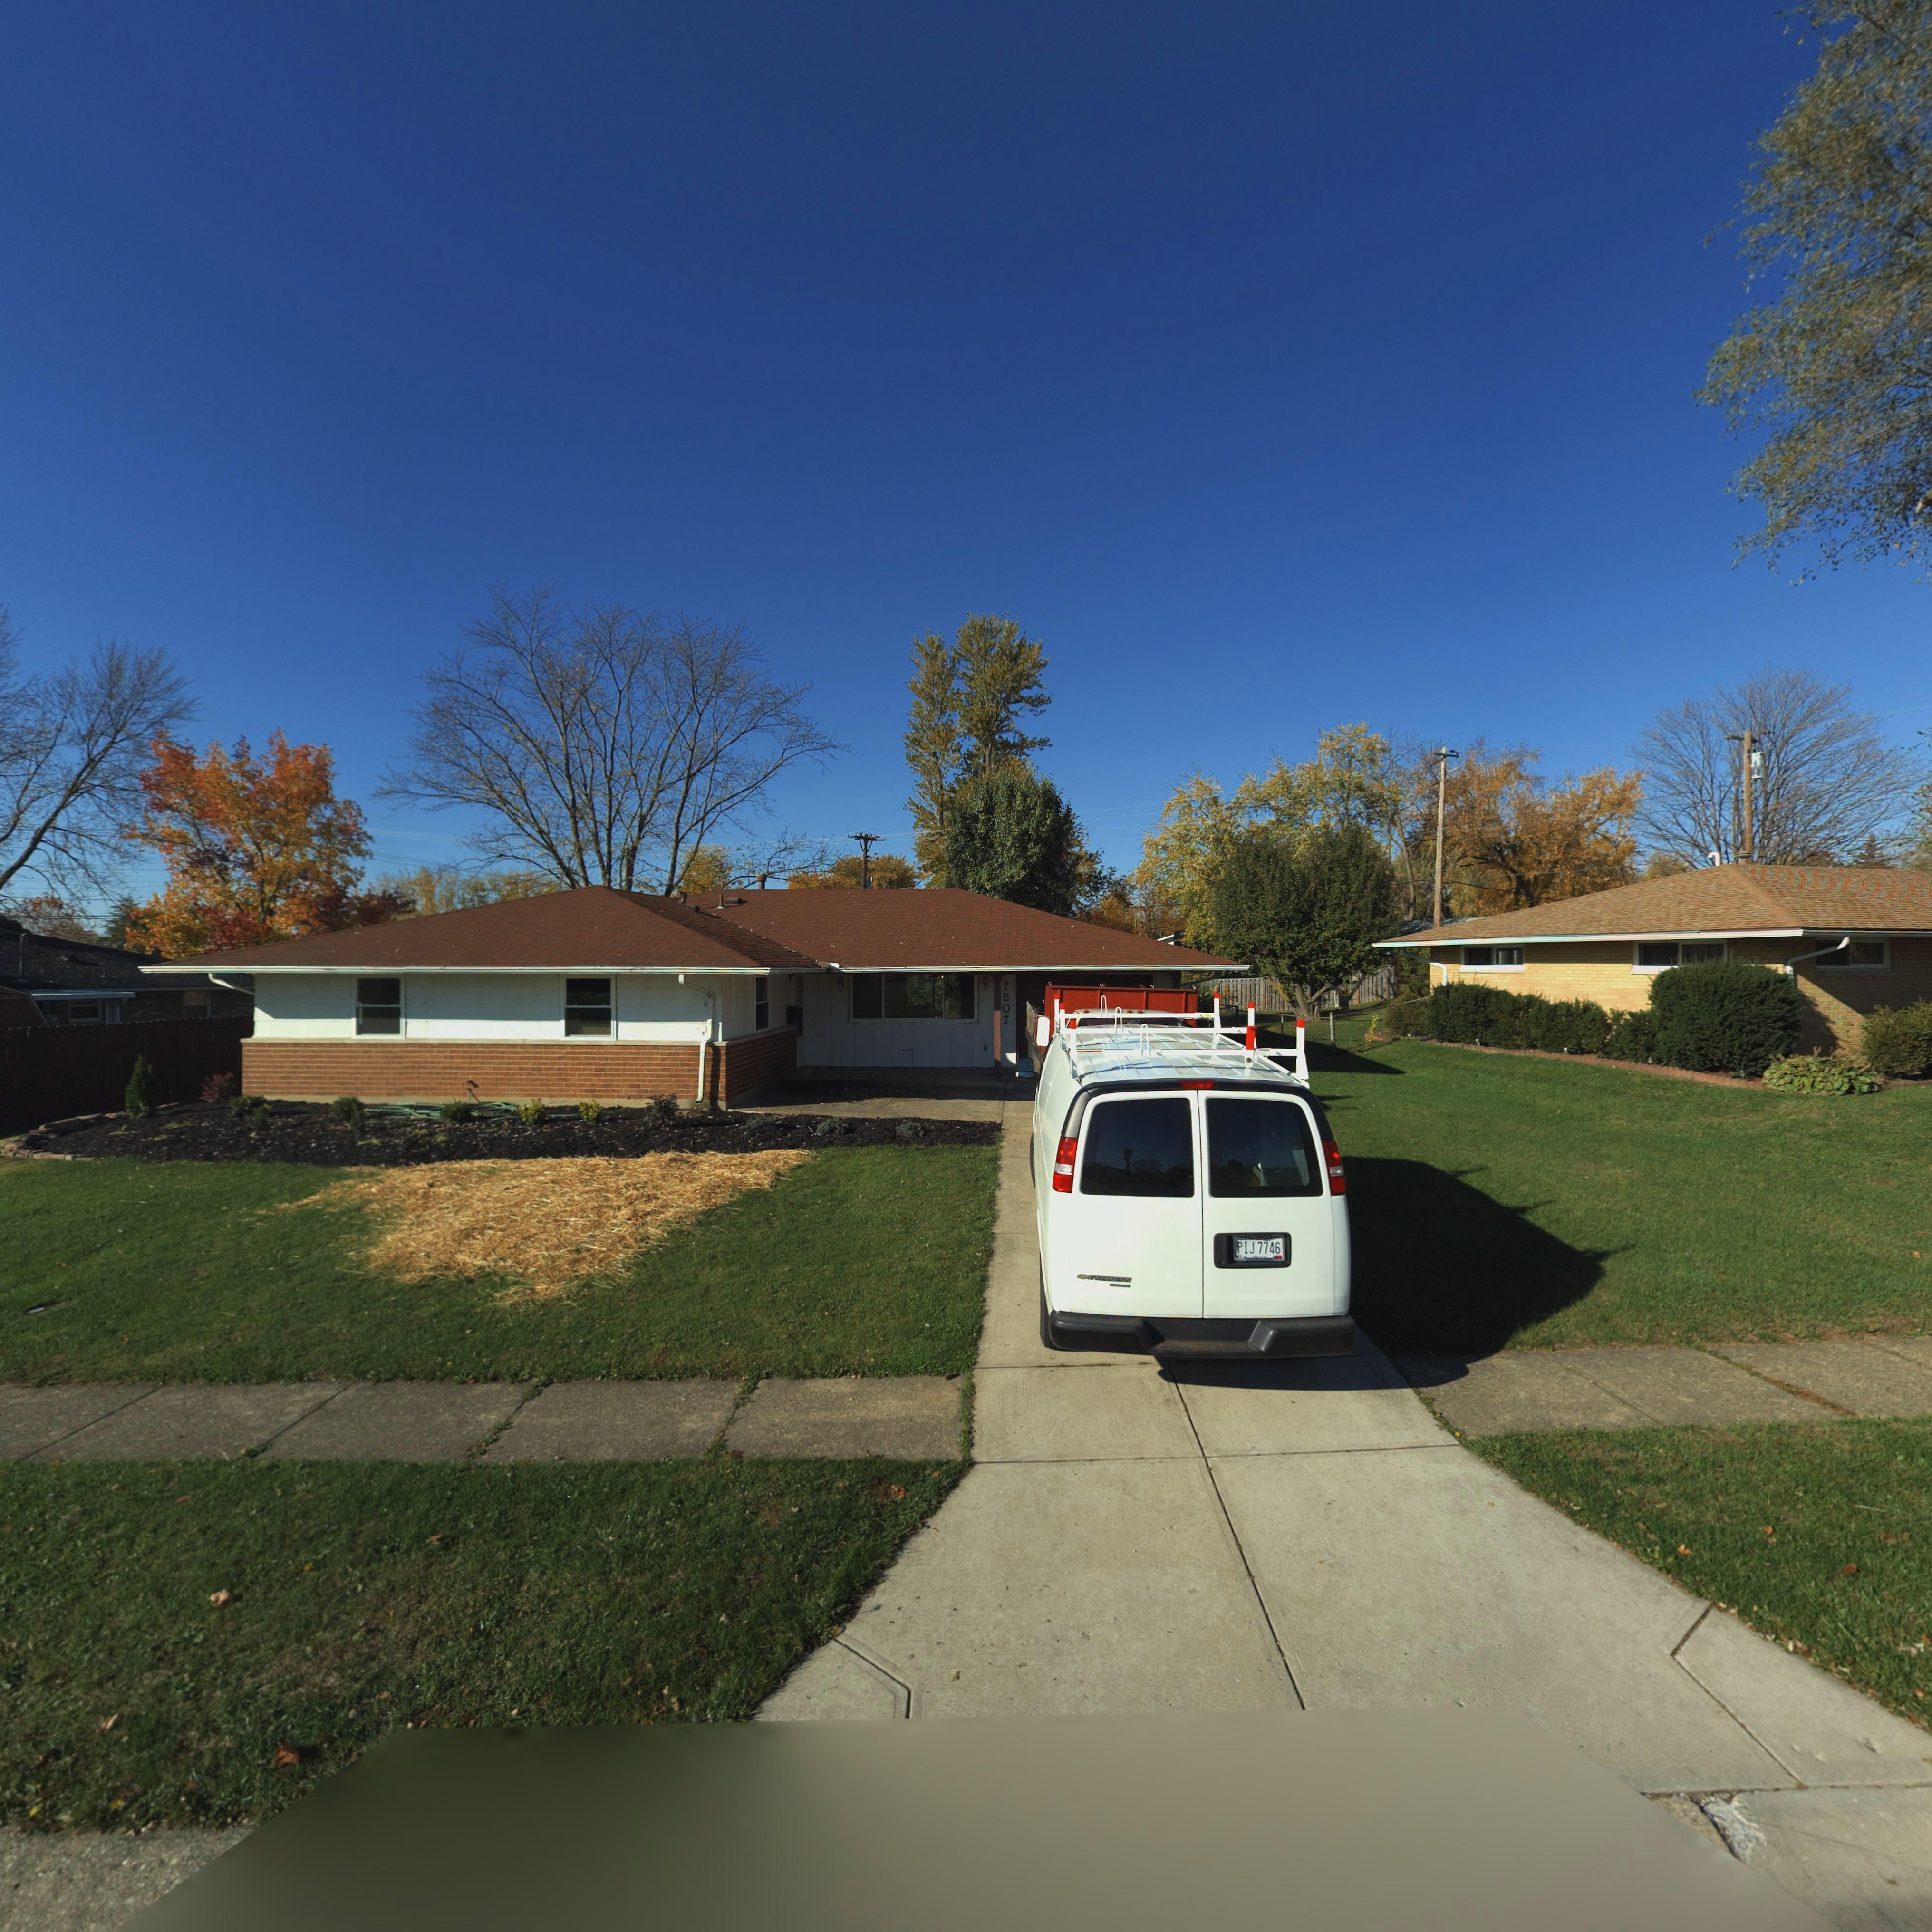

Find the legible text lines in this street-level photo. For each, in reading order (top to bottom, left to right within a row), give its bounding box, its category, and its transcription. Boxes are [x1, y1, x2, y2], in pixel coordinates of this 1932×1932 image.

[1002, 980, 1010, 1024] StreetNumber: 7507